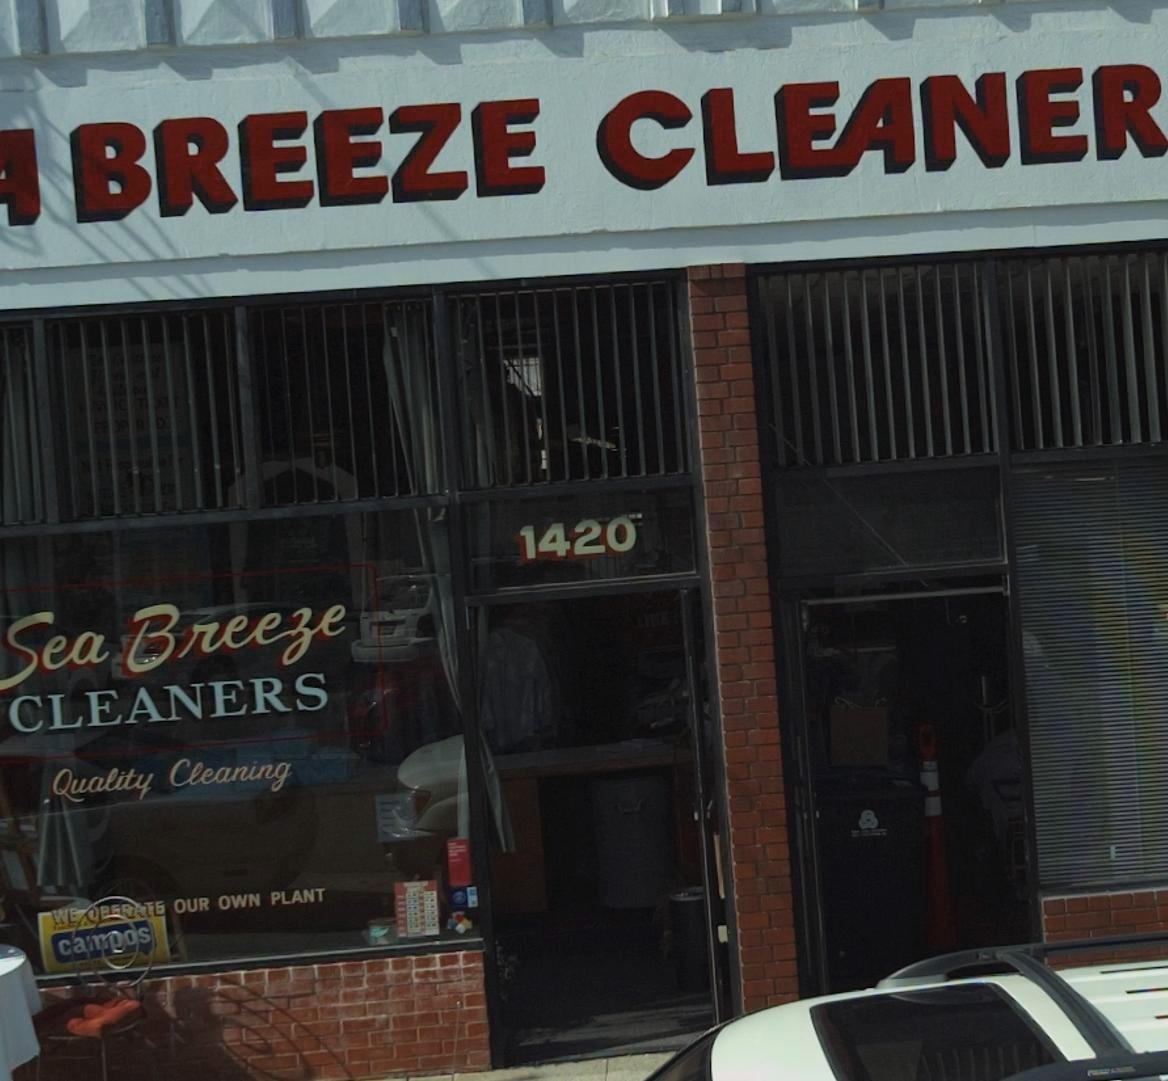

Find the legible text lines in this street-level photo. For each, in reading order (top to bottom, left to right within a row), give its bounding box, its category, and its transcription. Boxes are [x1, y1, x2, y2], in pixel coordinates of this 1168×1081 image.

[0, 59, 1168, 227] BusinessName: * BREEZEE CLEANER
[514, 511, 643, 565] StreetNumber: 1420
[0, 596, 351, 698] BusinessName: Sea Breeze
[4, 668, 333, 739] BusinessName: CLEANERS
[46, 757, 297, 806] None: Quality Cleaning
[45, 885, 330, 928] None: WE OPERATE OUR OWN PLANT
[58, 925, 153, 956] None: ca**os